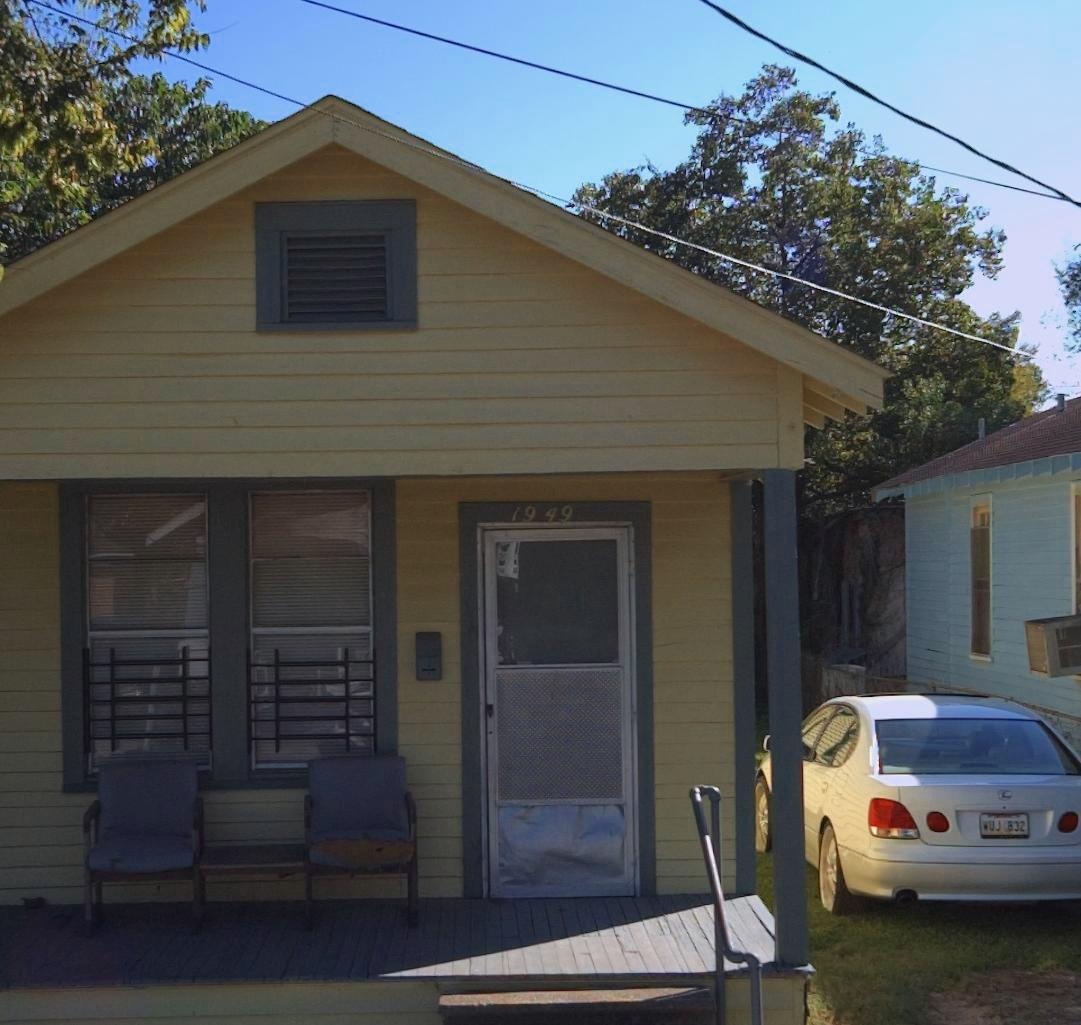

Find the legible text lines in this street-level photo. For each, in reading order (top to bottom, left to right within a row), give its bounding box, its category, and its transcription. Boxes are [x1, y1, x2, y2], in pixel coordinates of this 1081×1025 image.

[504, 502, 581, 527] StreetNumber: 1949
[981, 819, 1028, 835] None: WUJ 832